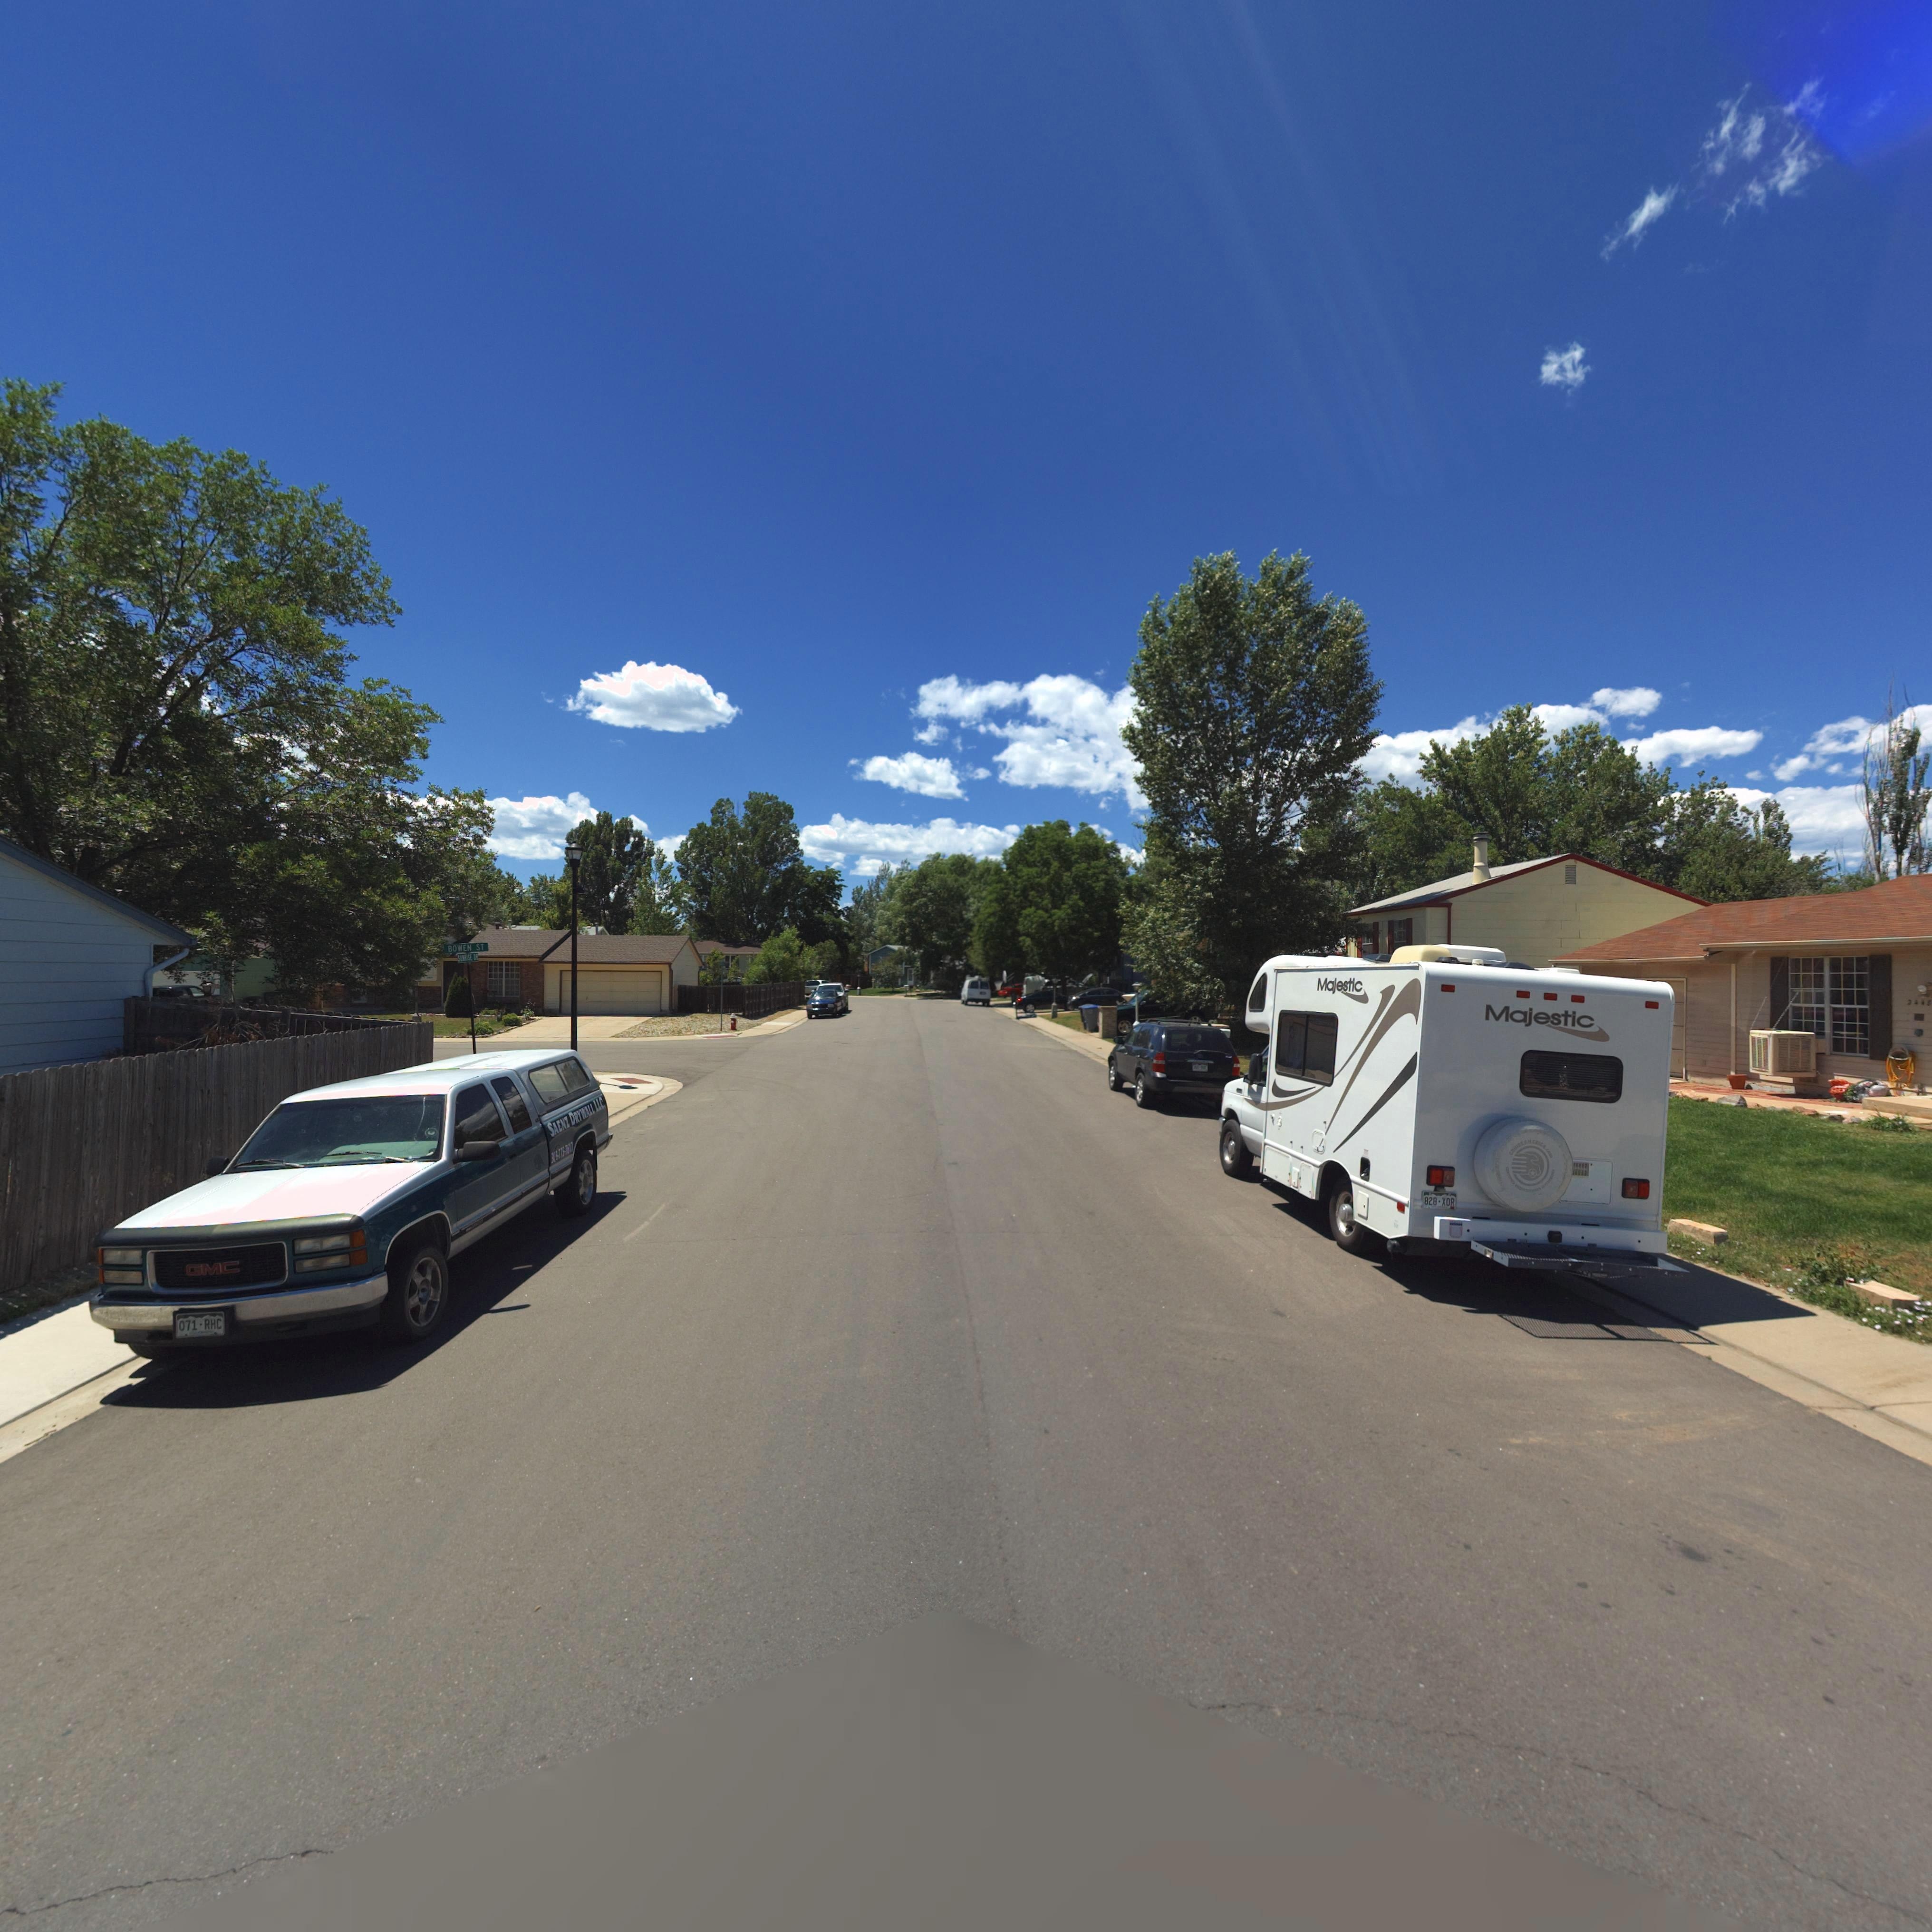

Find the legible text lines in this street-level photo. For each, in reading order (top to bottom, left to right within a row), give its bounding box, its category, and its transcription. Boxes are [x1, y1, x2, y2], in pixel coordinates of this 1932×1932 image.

[448, 943, 483, 952] StreetName: BOWEN ST
[457, 953, 478, 962] StreetName: SUNRISE DR
[1907, 999, 1931, 1006] StreetNumber: *445